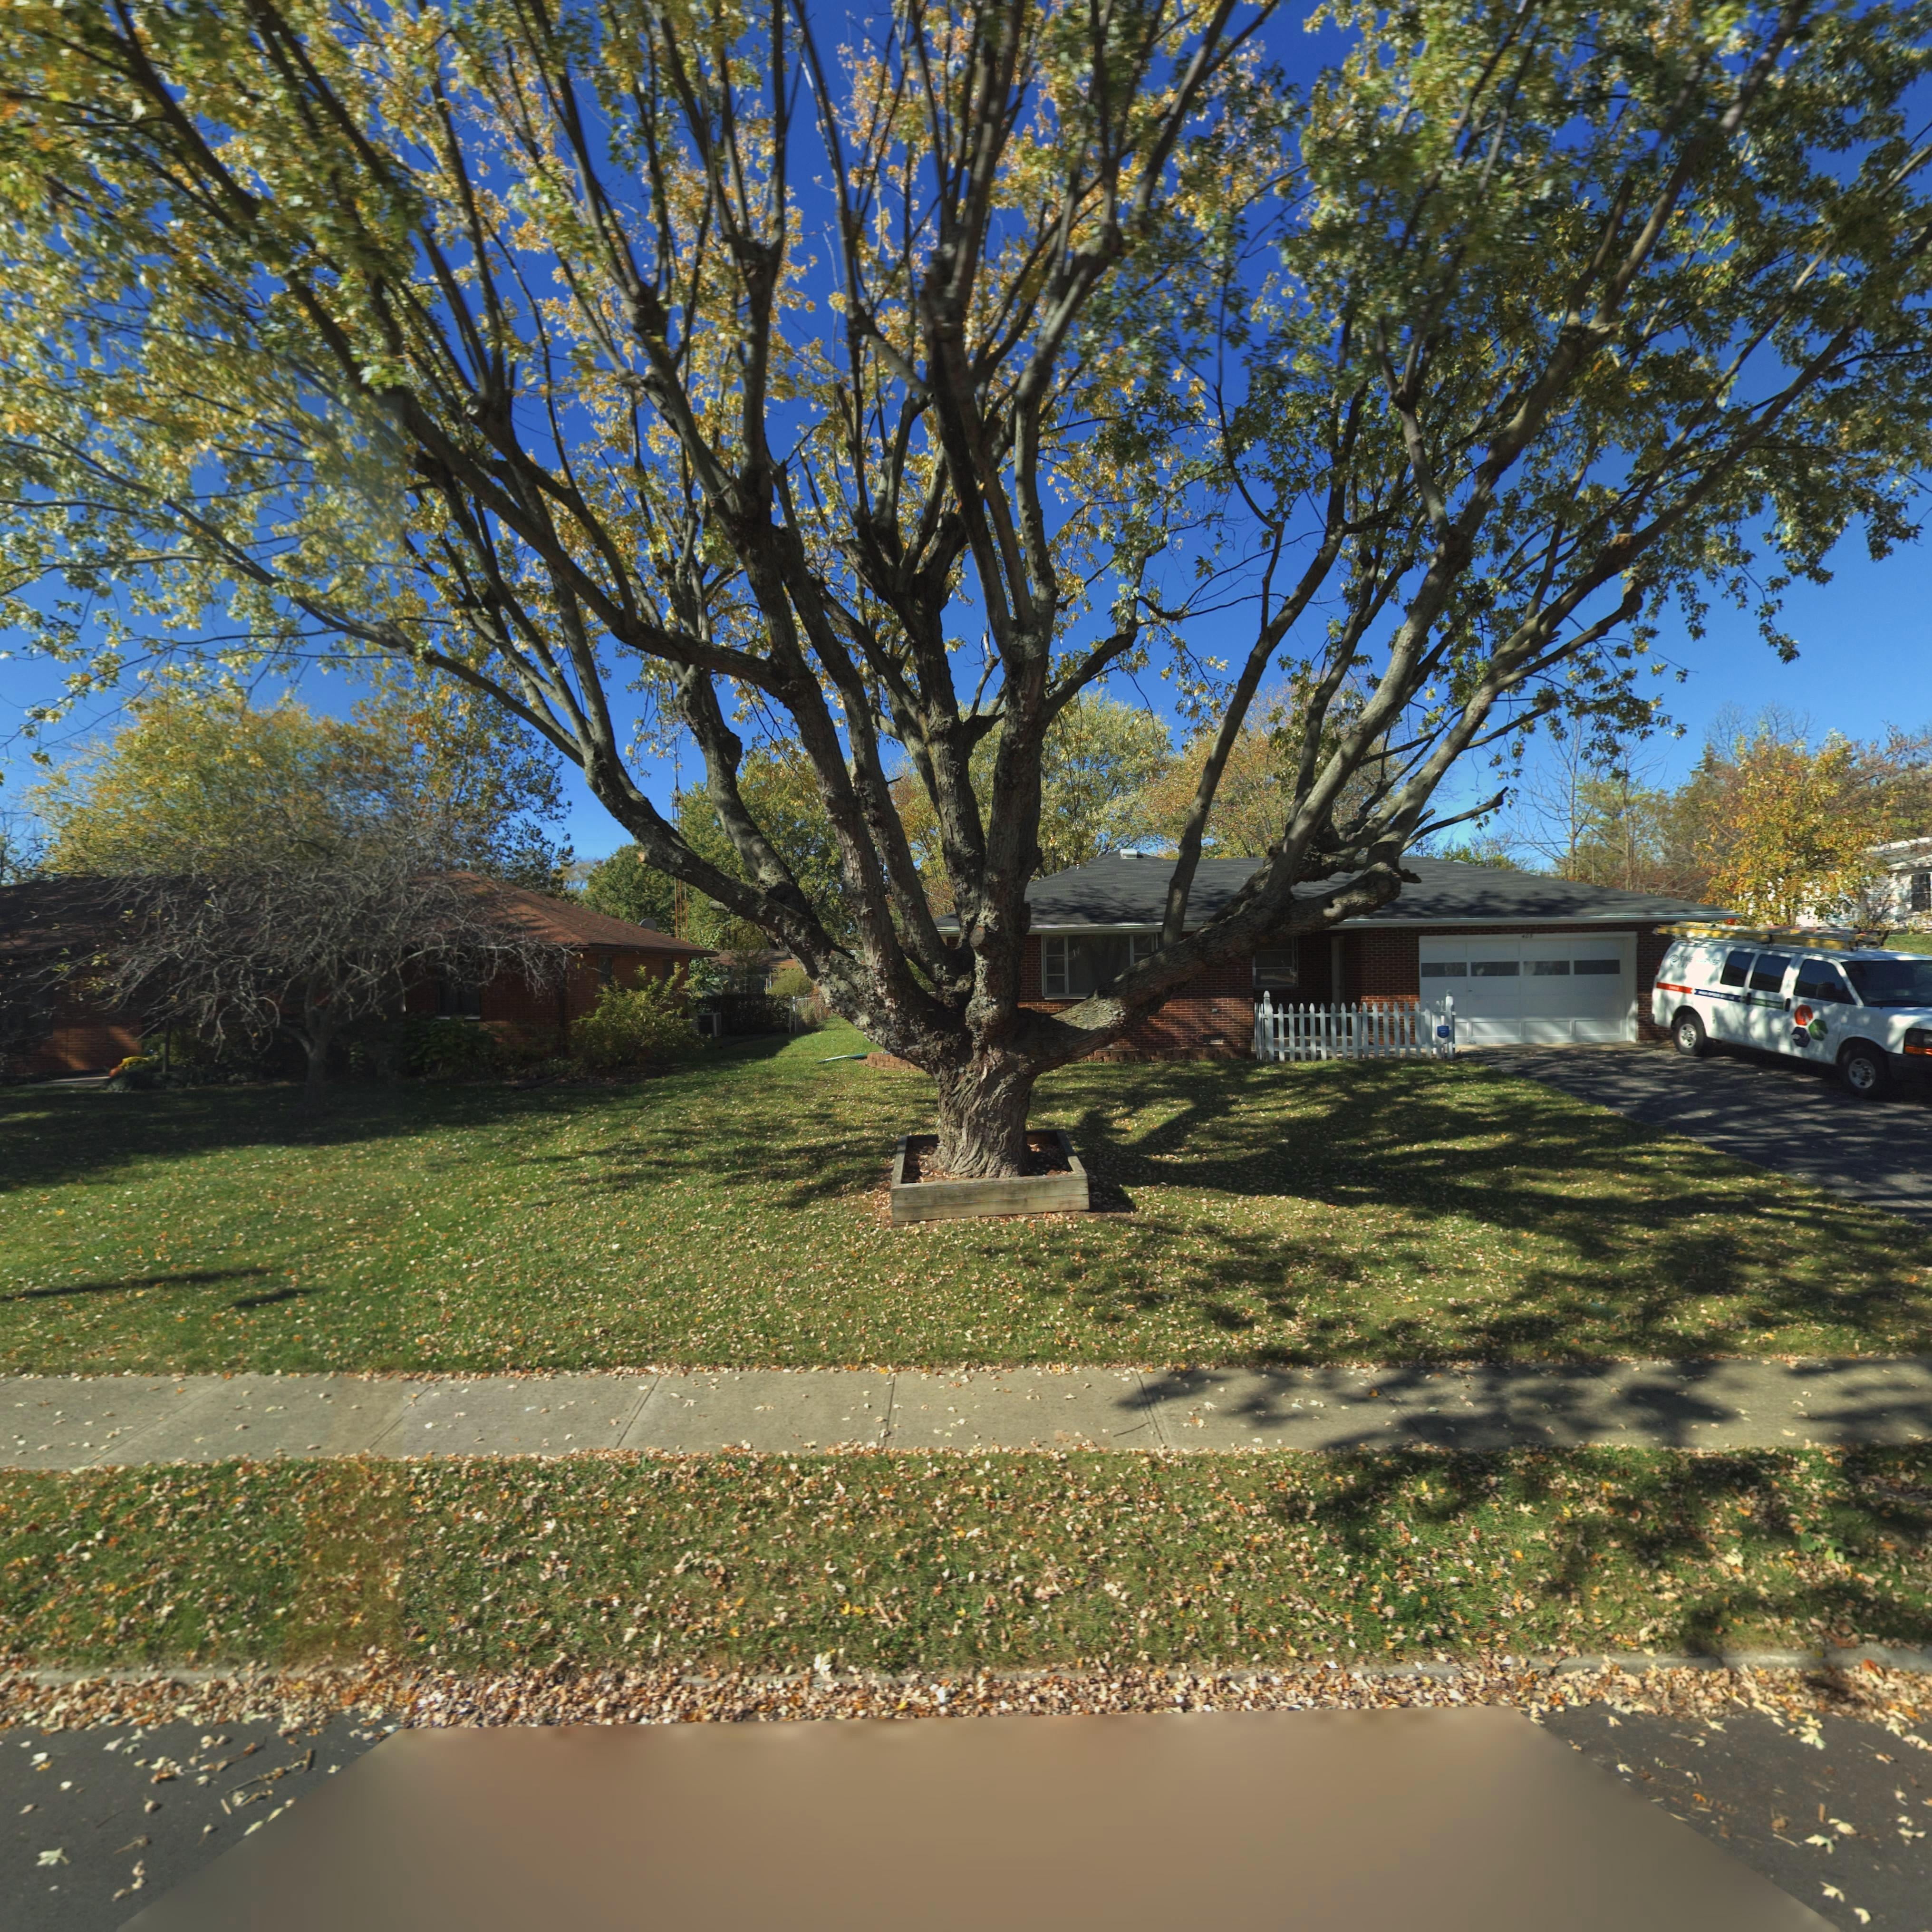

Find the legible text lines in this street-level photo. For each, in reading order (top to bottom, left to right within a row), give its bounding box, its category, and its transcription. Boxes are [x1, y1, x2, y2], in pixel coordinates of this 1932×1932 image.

[1520, 933, 1534, 939] StreetNumber: 403